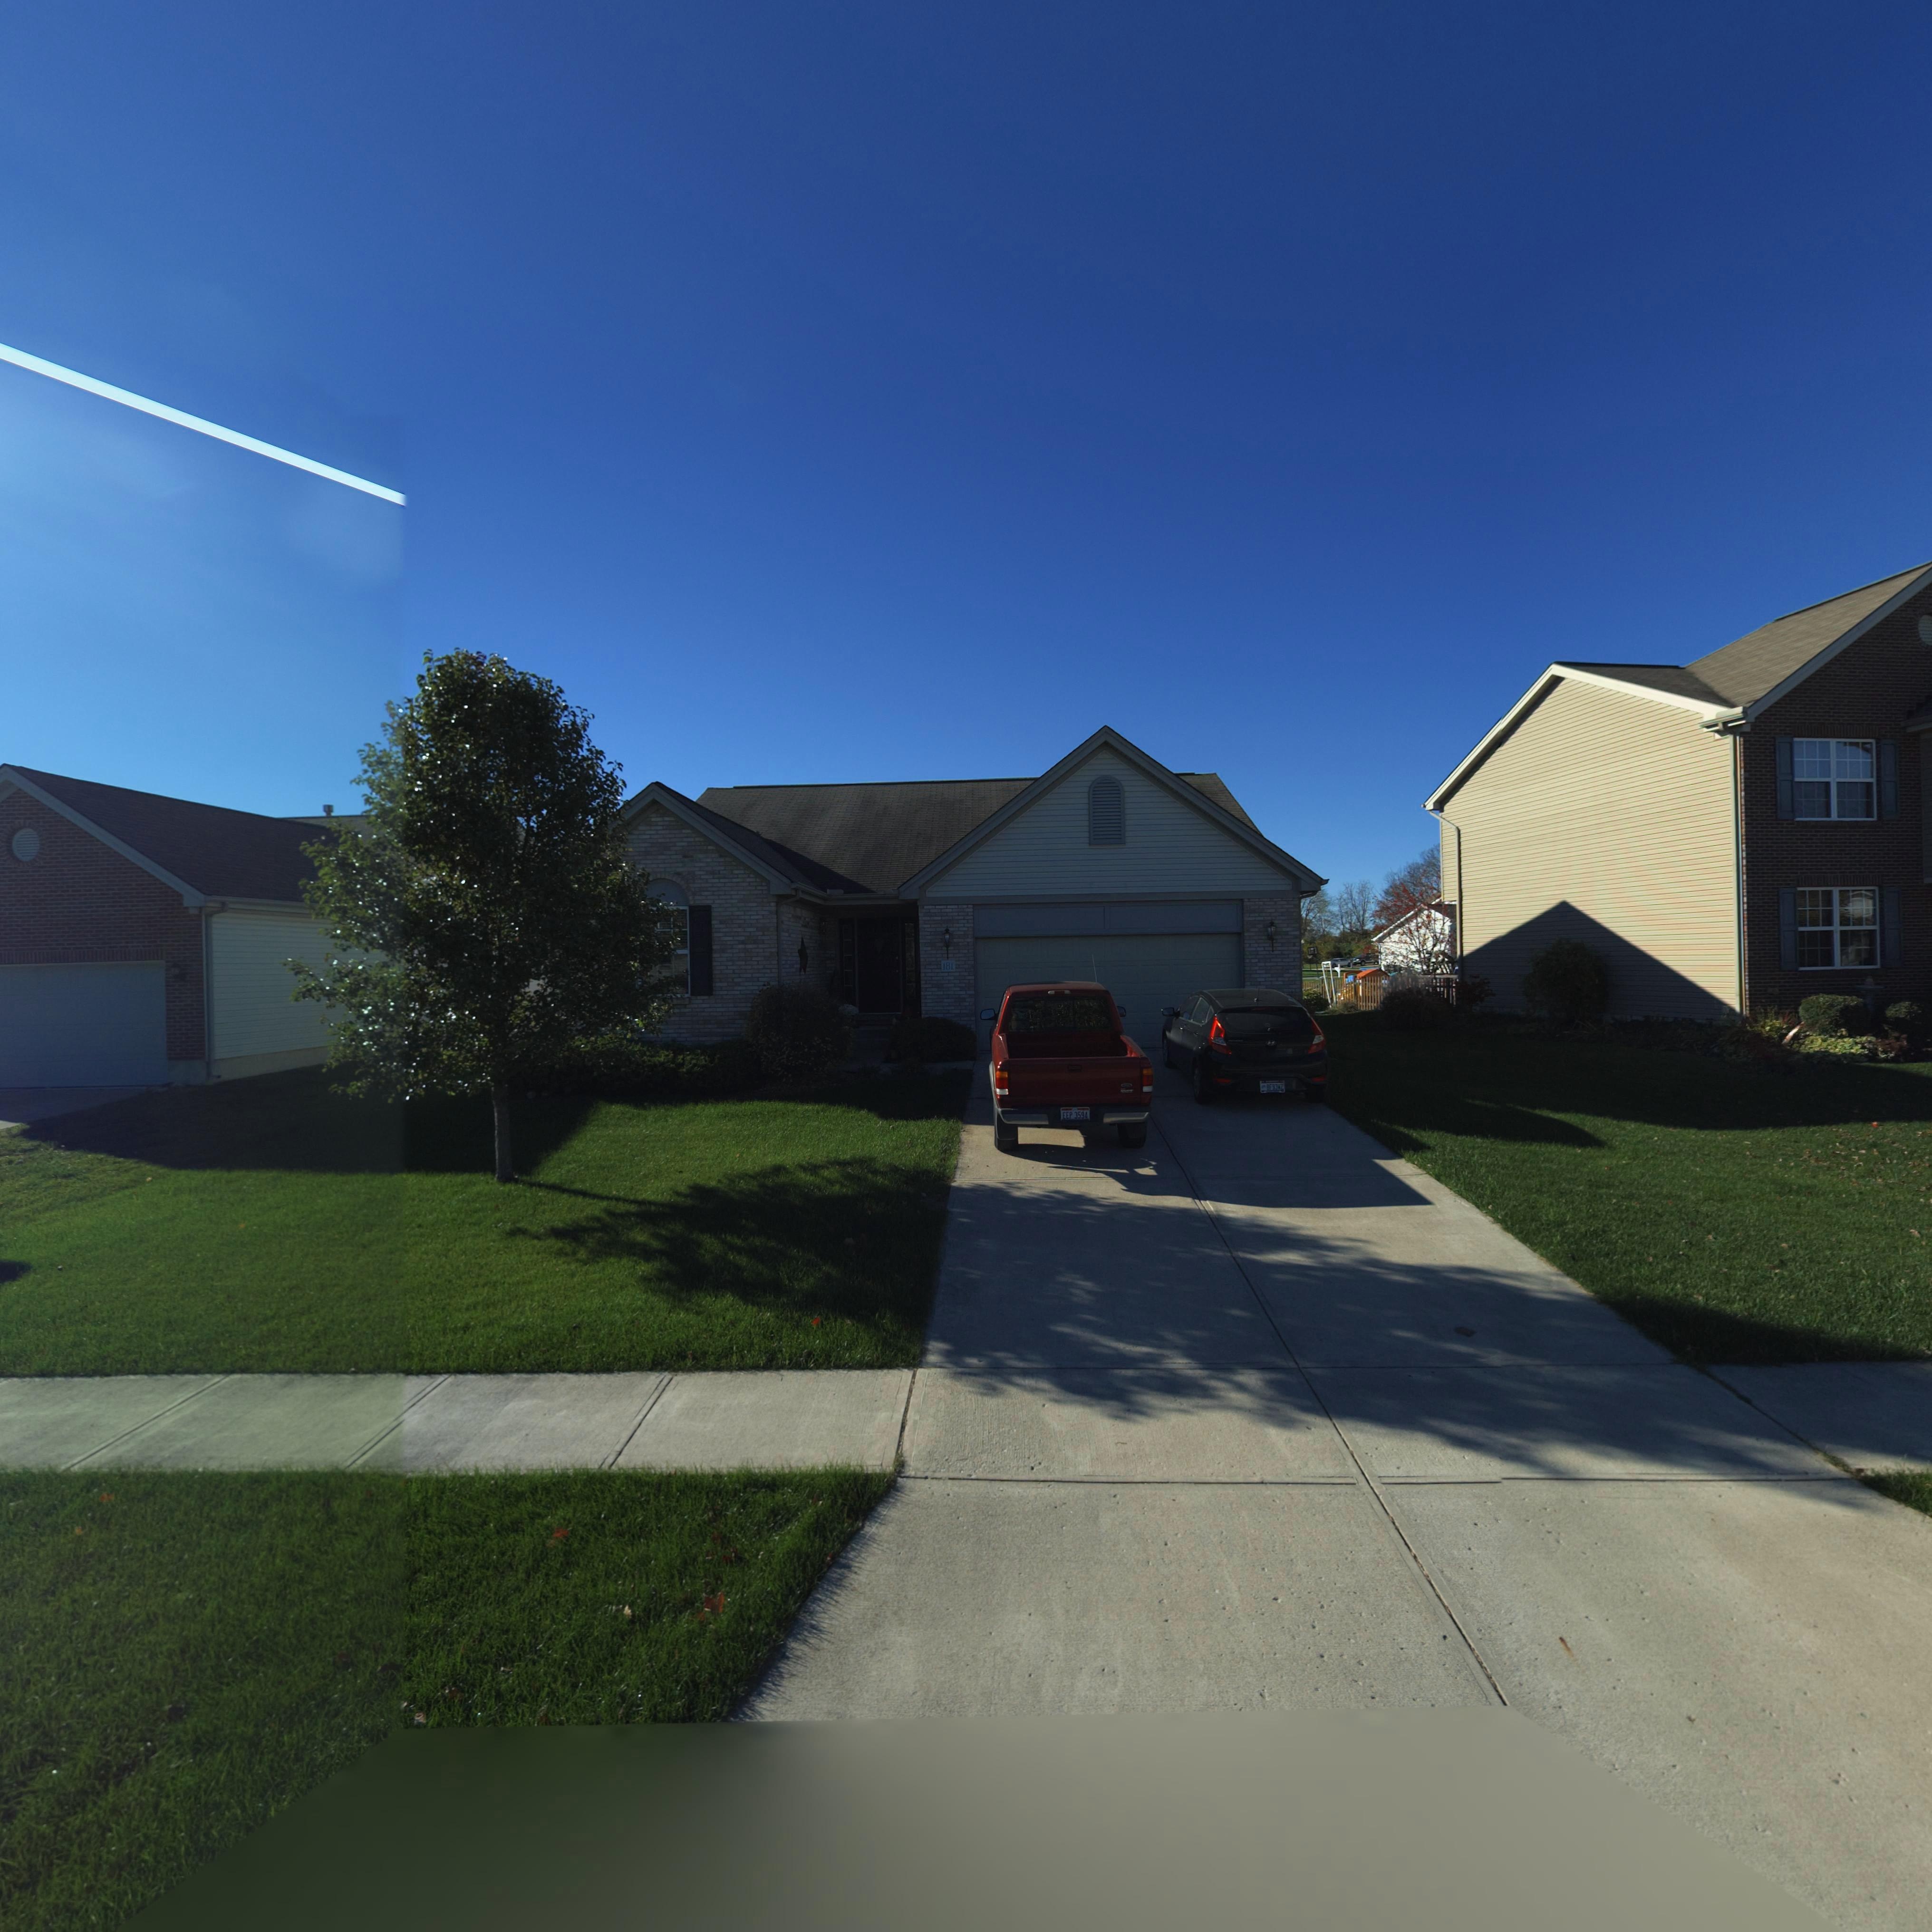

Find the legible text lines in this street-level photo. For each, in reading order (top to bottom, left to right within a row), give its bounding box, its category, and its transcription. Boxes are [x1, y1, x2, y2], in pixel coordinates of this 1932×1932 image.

[942, 962, 954, 970] StreetNumber: 181